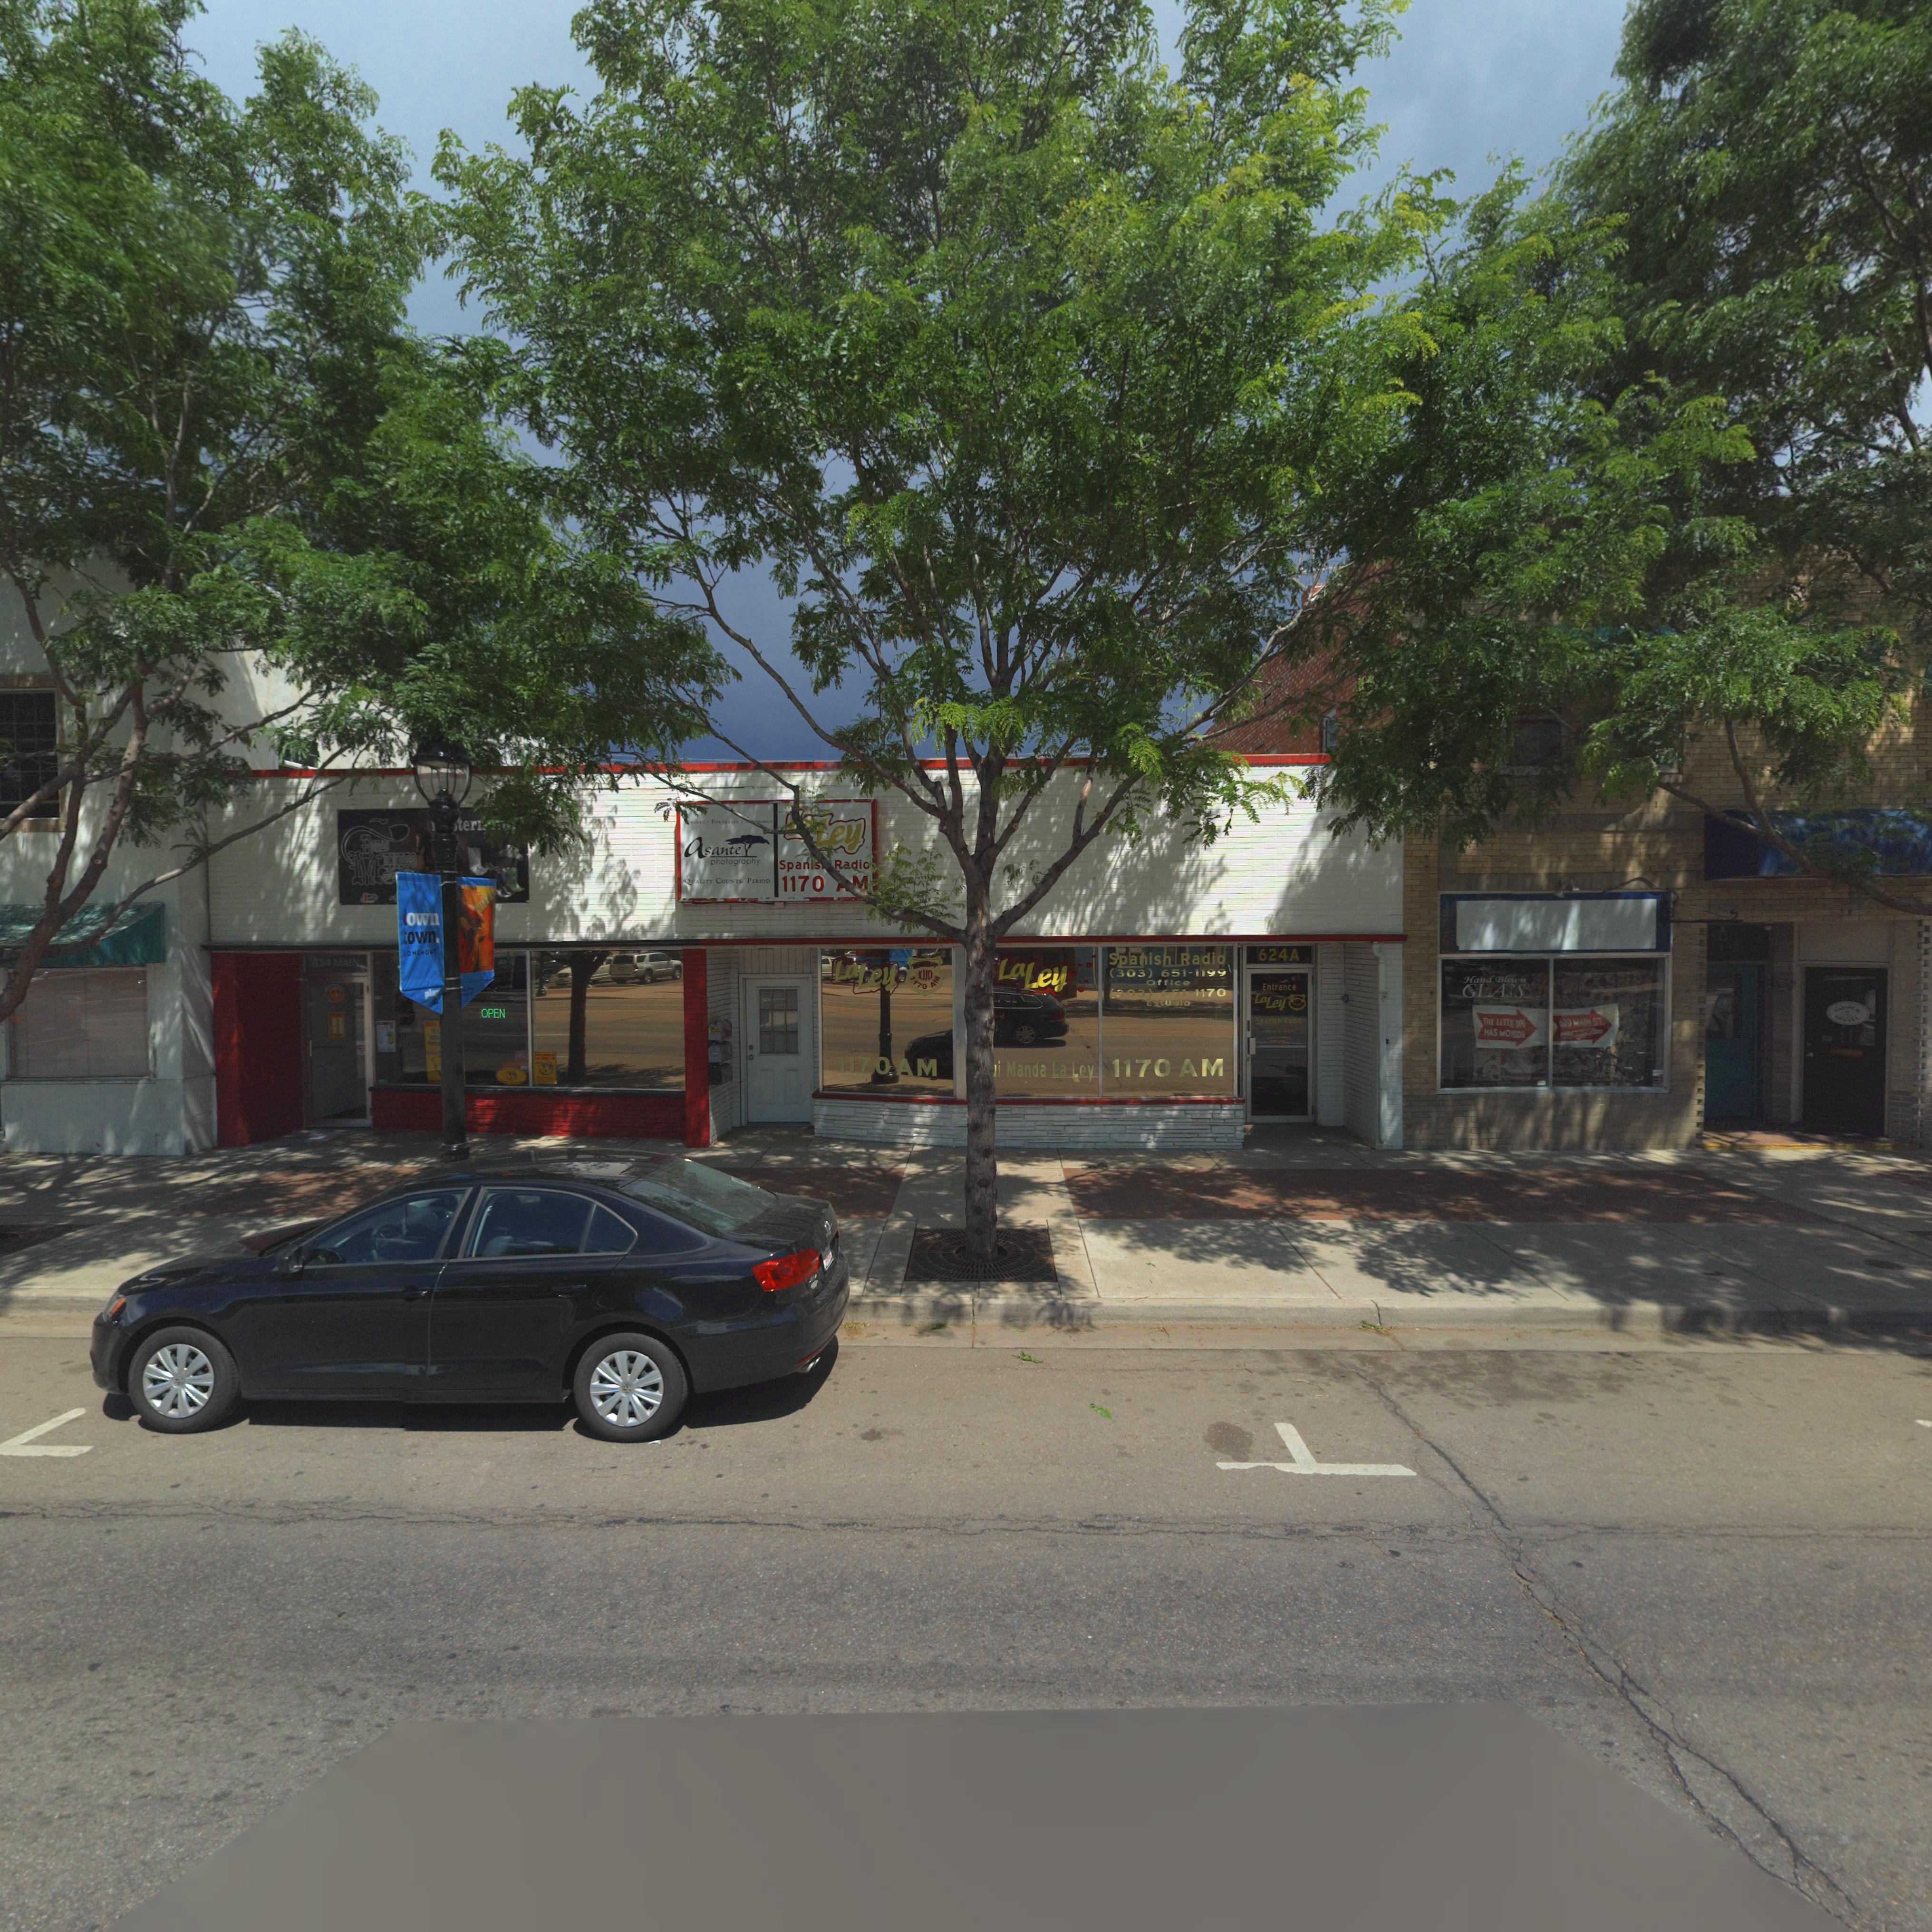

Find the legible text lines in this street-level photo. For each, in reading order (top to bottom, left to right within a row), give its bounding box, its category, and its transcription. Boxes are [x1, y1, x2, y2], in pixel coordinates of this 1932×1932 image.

[786, 810, 865, 851] BusinessName: **Ley
[358, 833, 391, 859] BusinessName: B***S
[683, 835, 742, 860] BusinessName: asante
[348, 849, 419, 888] BusinessName: MEXICO
[710, 857, 761, 866] BusinessName: photography
[312, 957, 332, 968] StreetNumber: *24
[333, 957, 360, 968] StreetName: MAIN
[1257, 947, 1300, 962] StreetNumber: 624A
[832, 958, 897, 993] BusinessName: LaLey
[997, 956, 1069, 993] BusinessName: LaLey
[1254, 993, 1287, 1011] BusinessName: LaLey
[1483, 1016, 1526, 1028] BusinessName: THE LITTL* **G
[1558, 1018, 1572, 1027] StreetNumber: 620
[1572, 1016, 1602, 1027] StreetName: MAIN ST